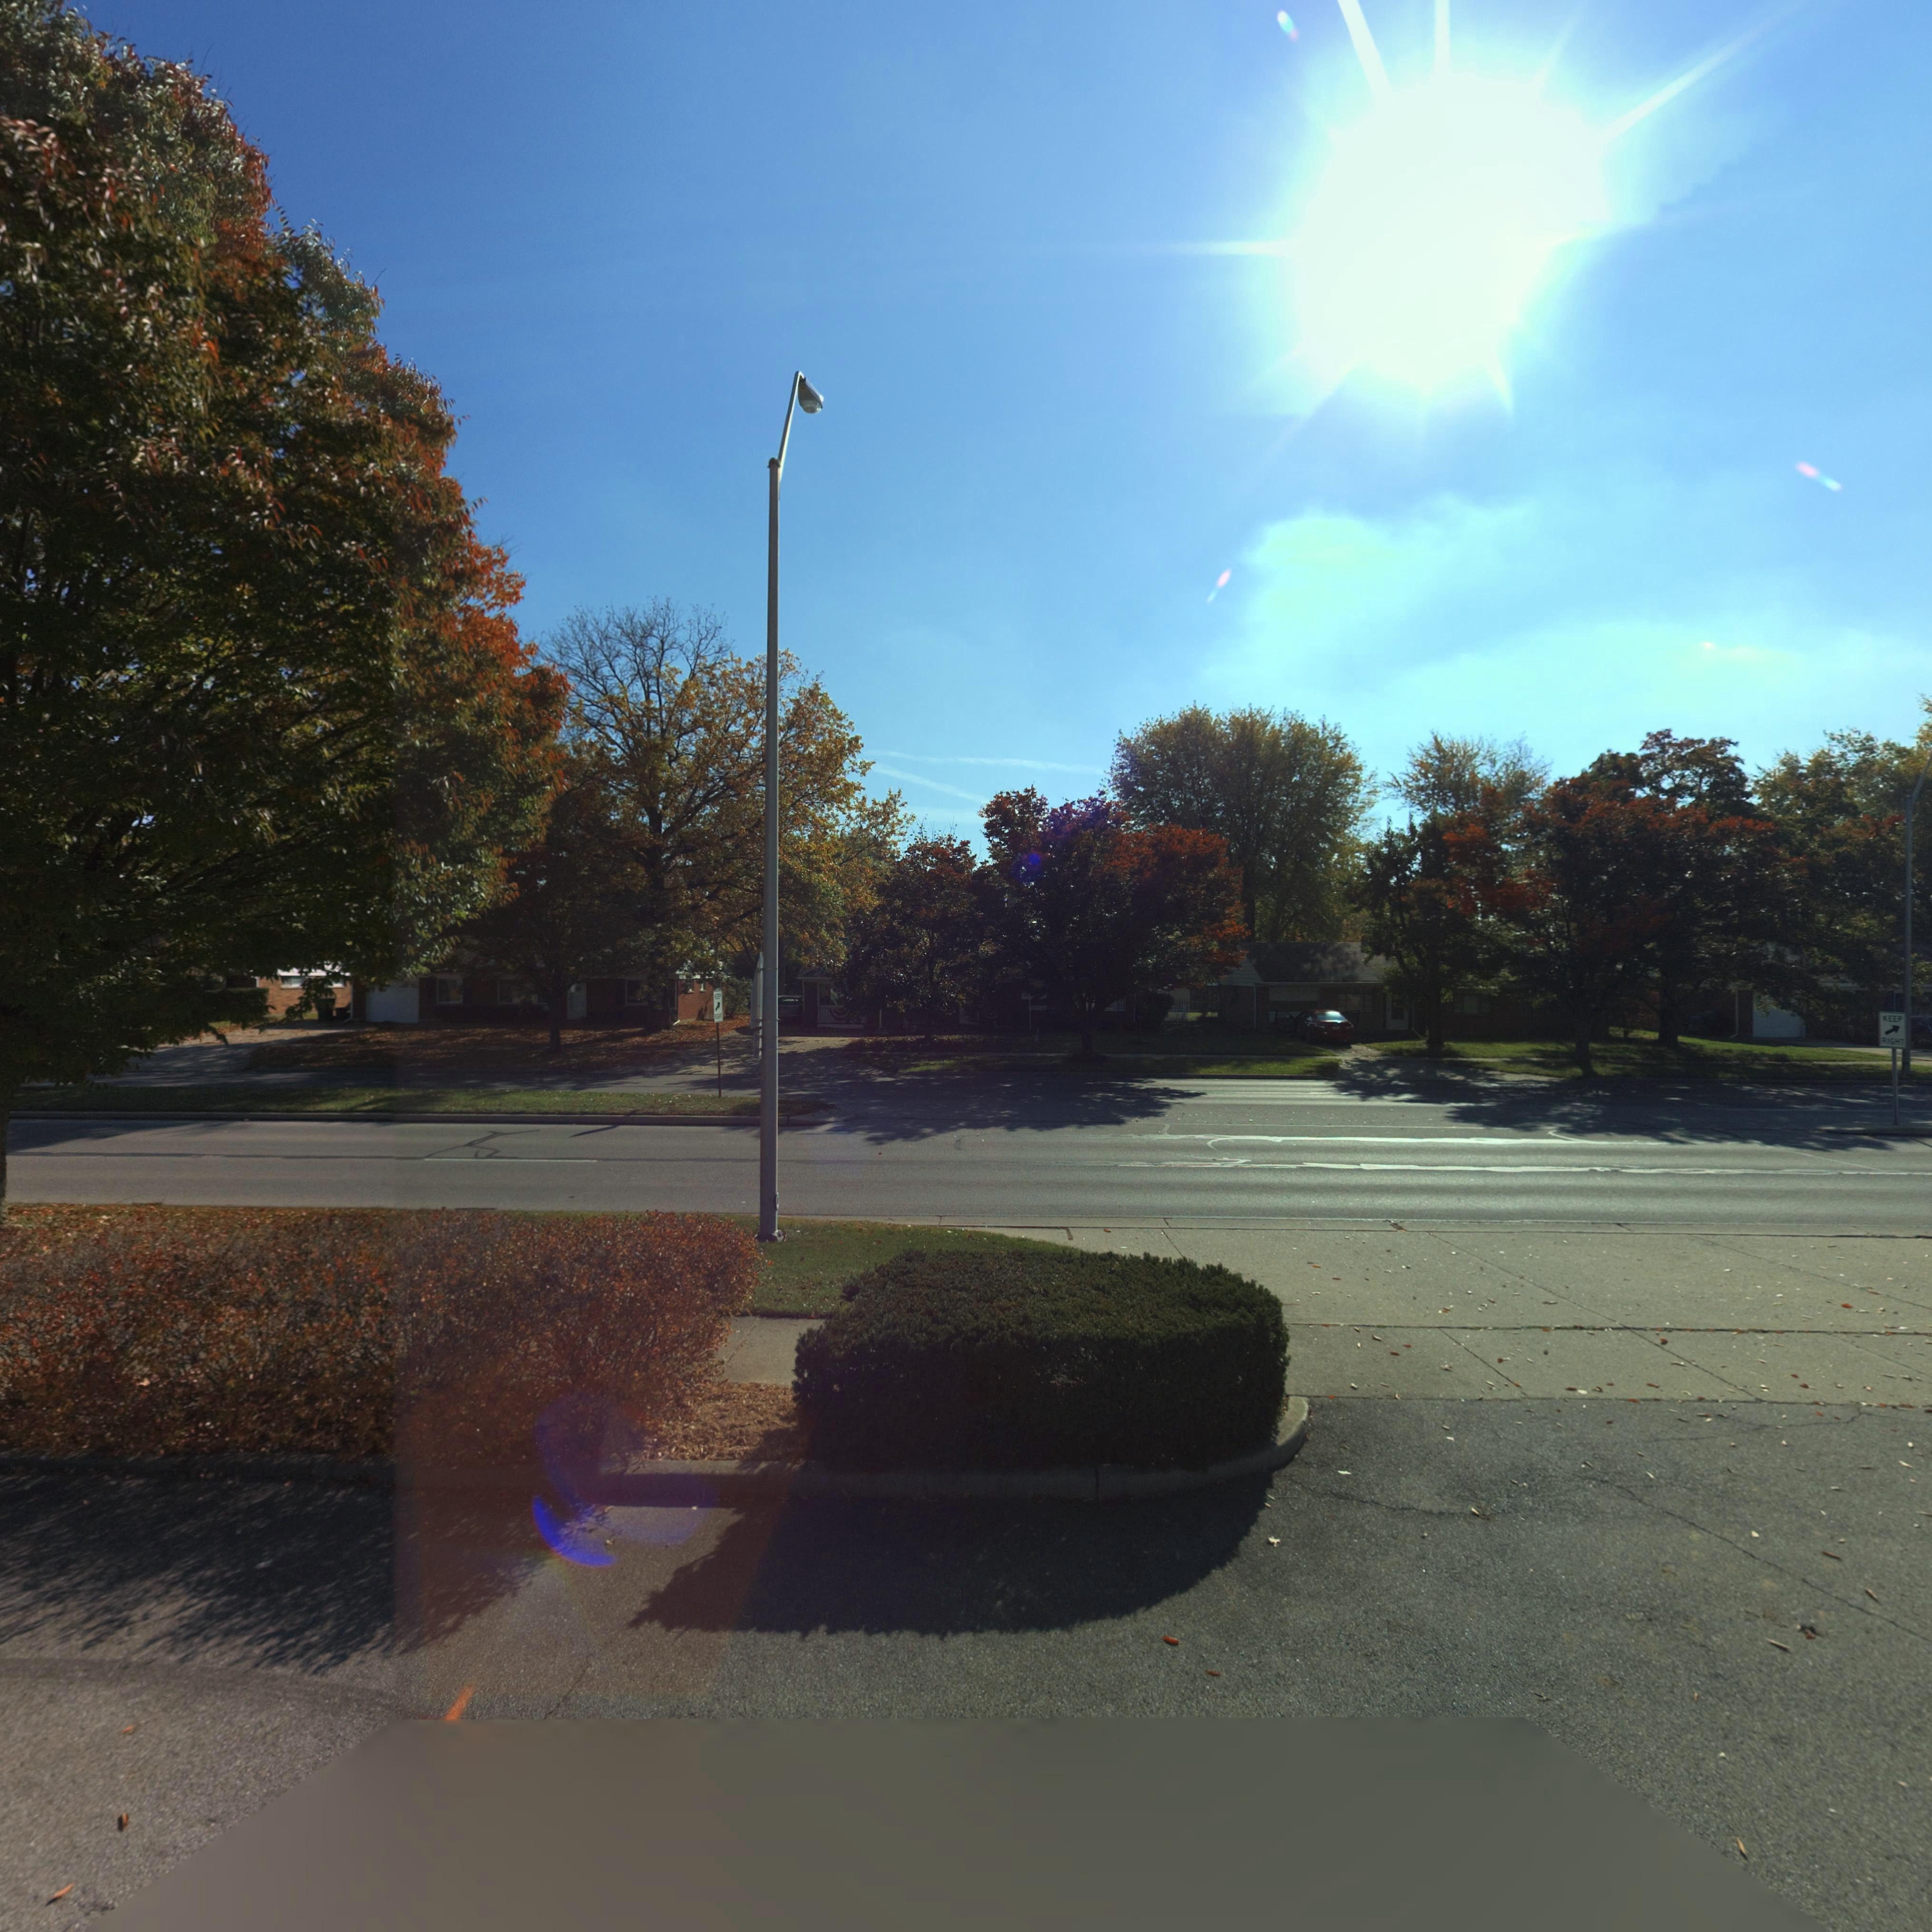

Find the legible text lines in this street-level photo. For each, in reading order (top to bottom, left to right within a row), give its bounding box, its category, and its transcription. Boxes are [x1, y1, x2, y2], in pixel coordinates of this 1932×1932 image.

[714, 993, 722, 1000] None: KEEP
[714, 1012, 723, 1020] None: RIGHT
[1882, 1015, 1903, 1023] None: KEEP
[1881, 1036, 1906, 1045] None: RIGHT